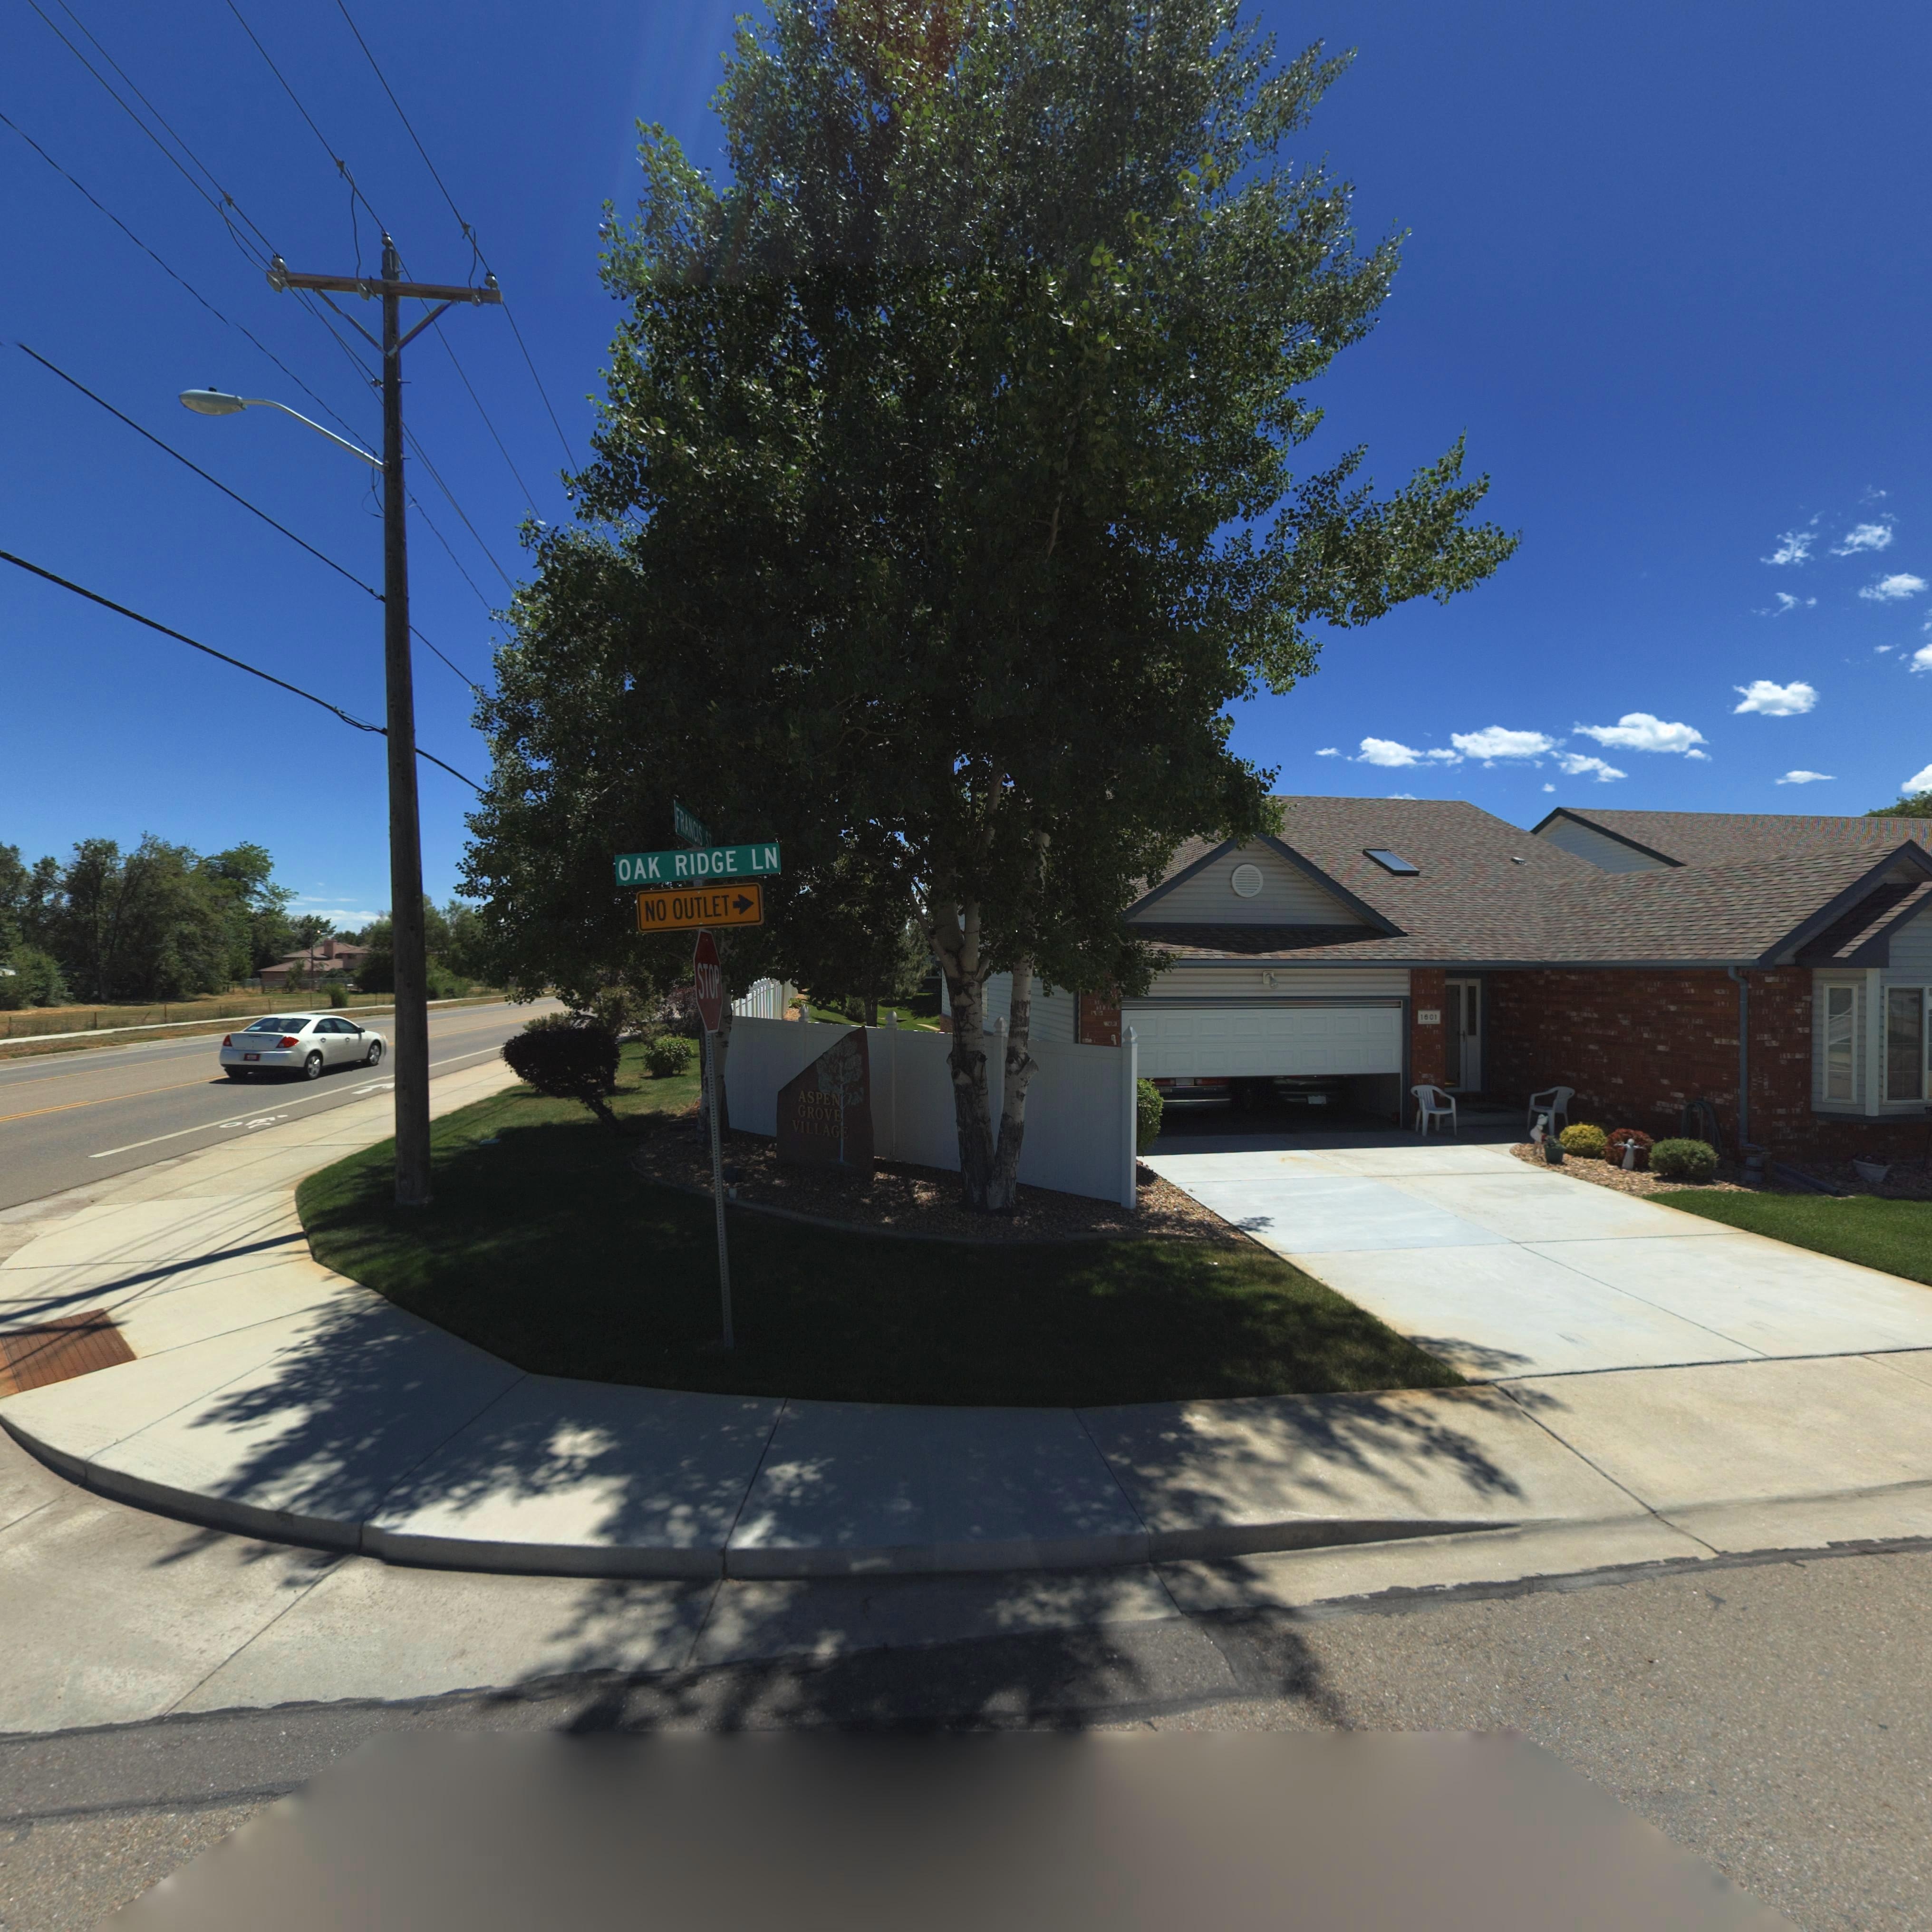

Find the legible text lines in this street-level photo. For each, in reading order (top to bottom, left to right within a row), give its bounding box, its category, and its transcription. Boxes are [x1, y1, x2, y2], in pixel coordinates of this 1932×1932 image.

[675, 804, 712, 848] StreetName: FRANCIS ST
[618, 846, 777, 881] BusinessName: OAK RIDGE LN
[1420, 1014, 1437, 1020] StreetNumber: 1601